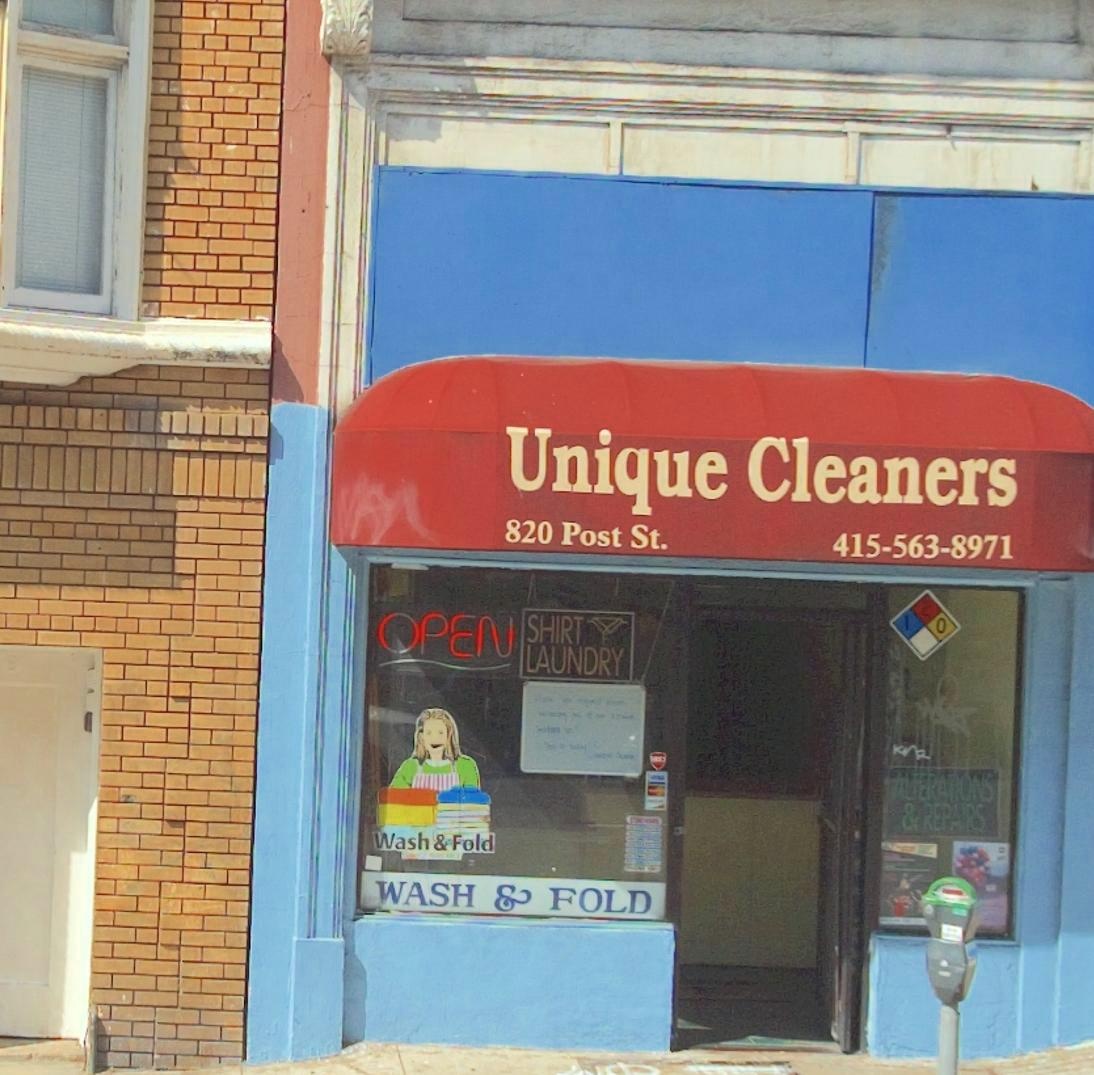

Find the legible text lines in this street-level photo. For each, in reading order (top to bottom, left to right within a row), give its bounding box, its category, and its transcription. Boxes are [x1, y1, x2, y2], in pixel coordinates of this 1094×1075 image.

[499, 423, 1022, 518] BusinessName: Uinque Cleaners
[503, 518, 555, 546] StreetNumber: 820
[559, 519, 671, 552] StreetName: Post St.
[827, 531, 1016, 562] None: 415-563-8971
[375, 610, 515, 663] None: OPEN
[525, 612, 589, 645] None: SHIRT
[903, 613, 911, 631] None: 1
[920, 599, 930, 616] None: 2
[936, 617, 947, 633] None: 0
[523, 642, 627, 678] None: LAUNDRY
[889, 771, 995, 804] None: ALTERATIONS
[898, 800, 987, 833] None: & REPAIRS
[372, 831, 494, 854] None: Wash Fold
[372, 879, 653, 915] None: WASH & FOLD